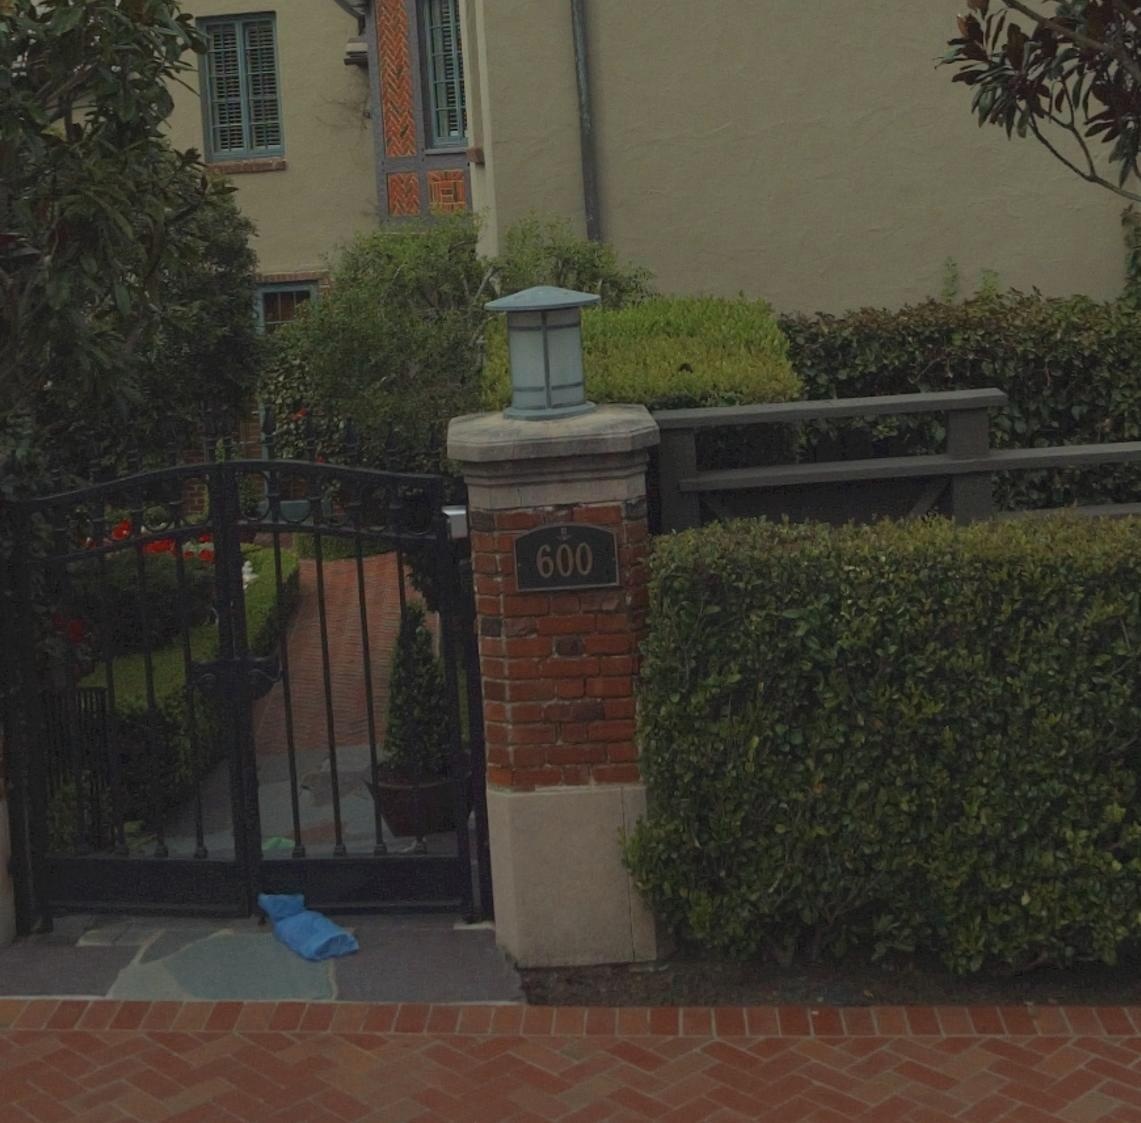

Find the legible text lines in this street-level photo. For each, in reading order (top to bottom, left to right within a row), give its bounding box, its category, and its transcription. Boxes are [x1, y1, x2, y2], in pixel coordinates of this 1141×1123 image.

[534, 541, 596, 580] StreetNumber: 600